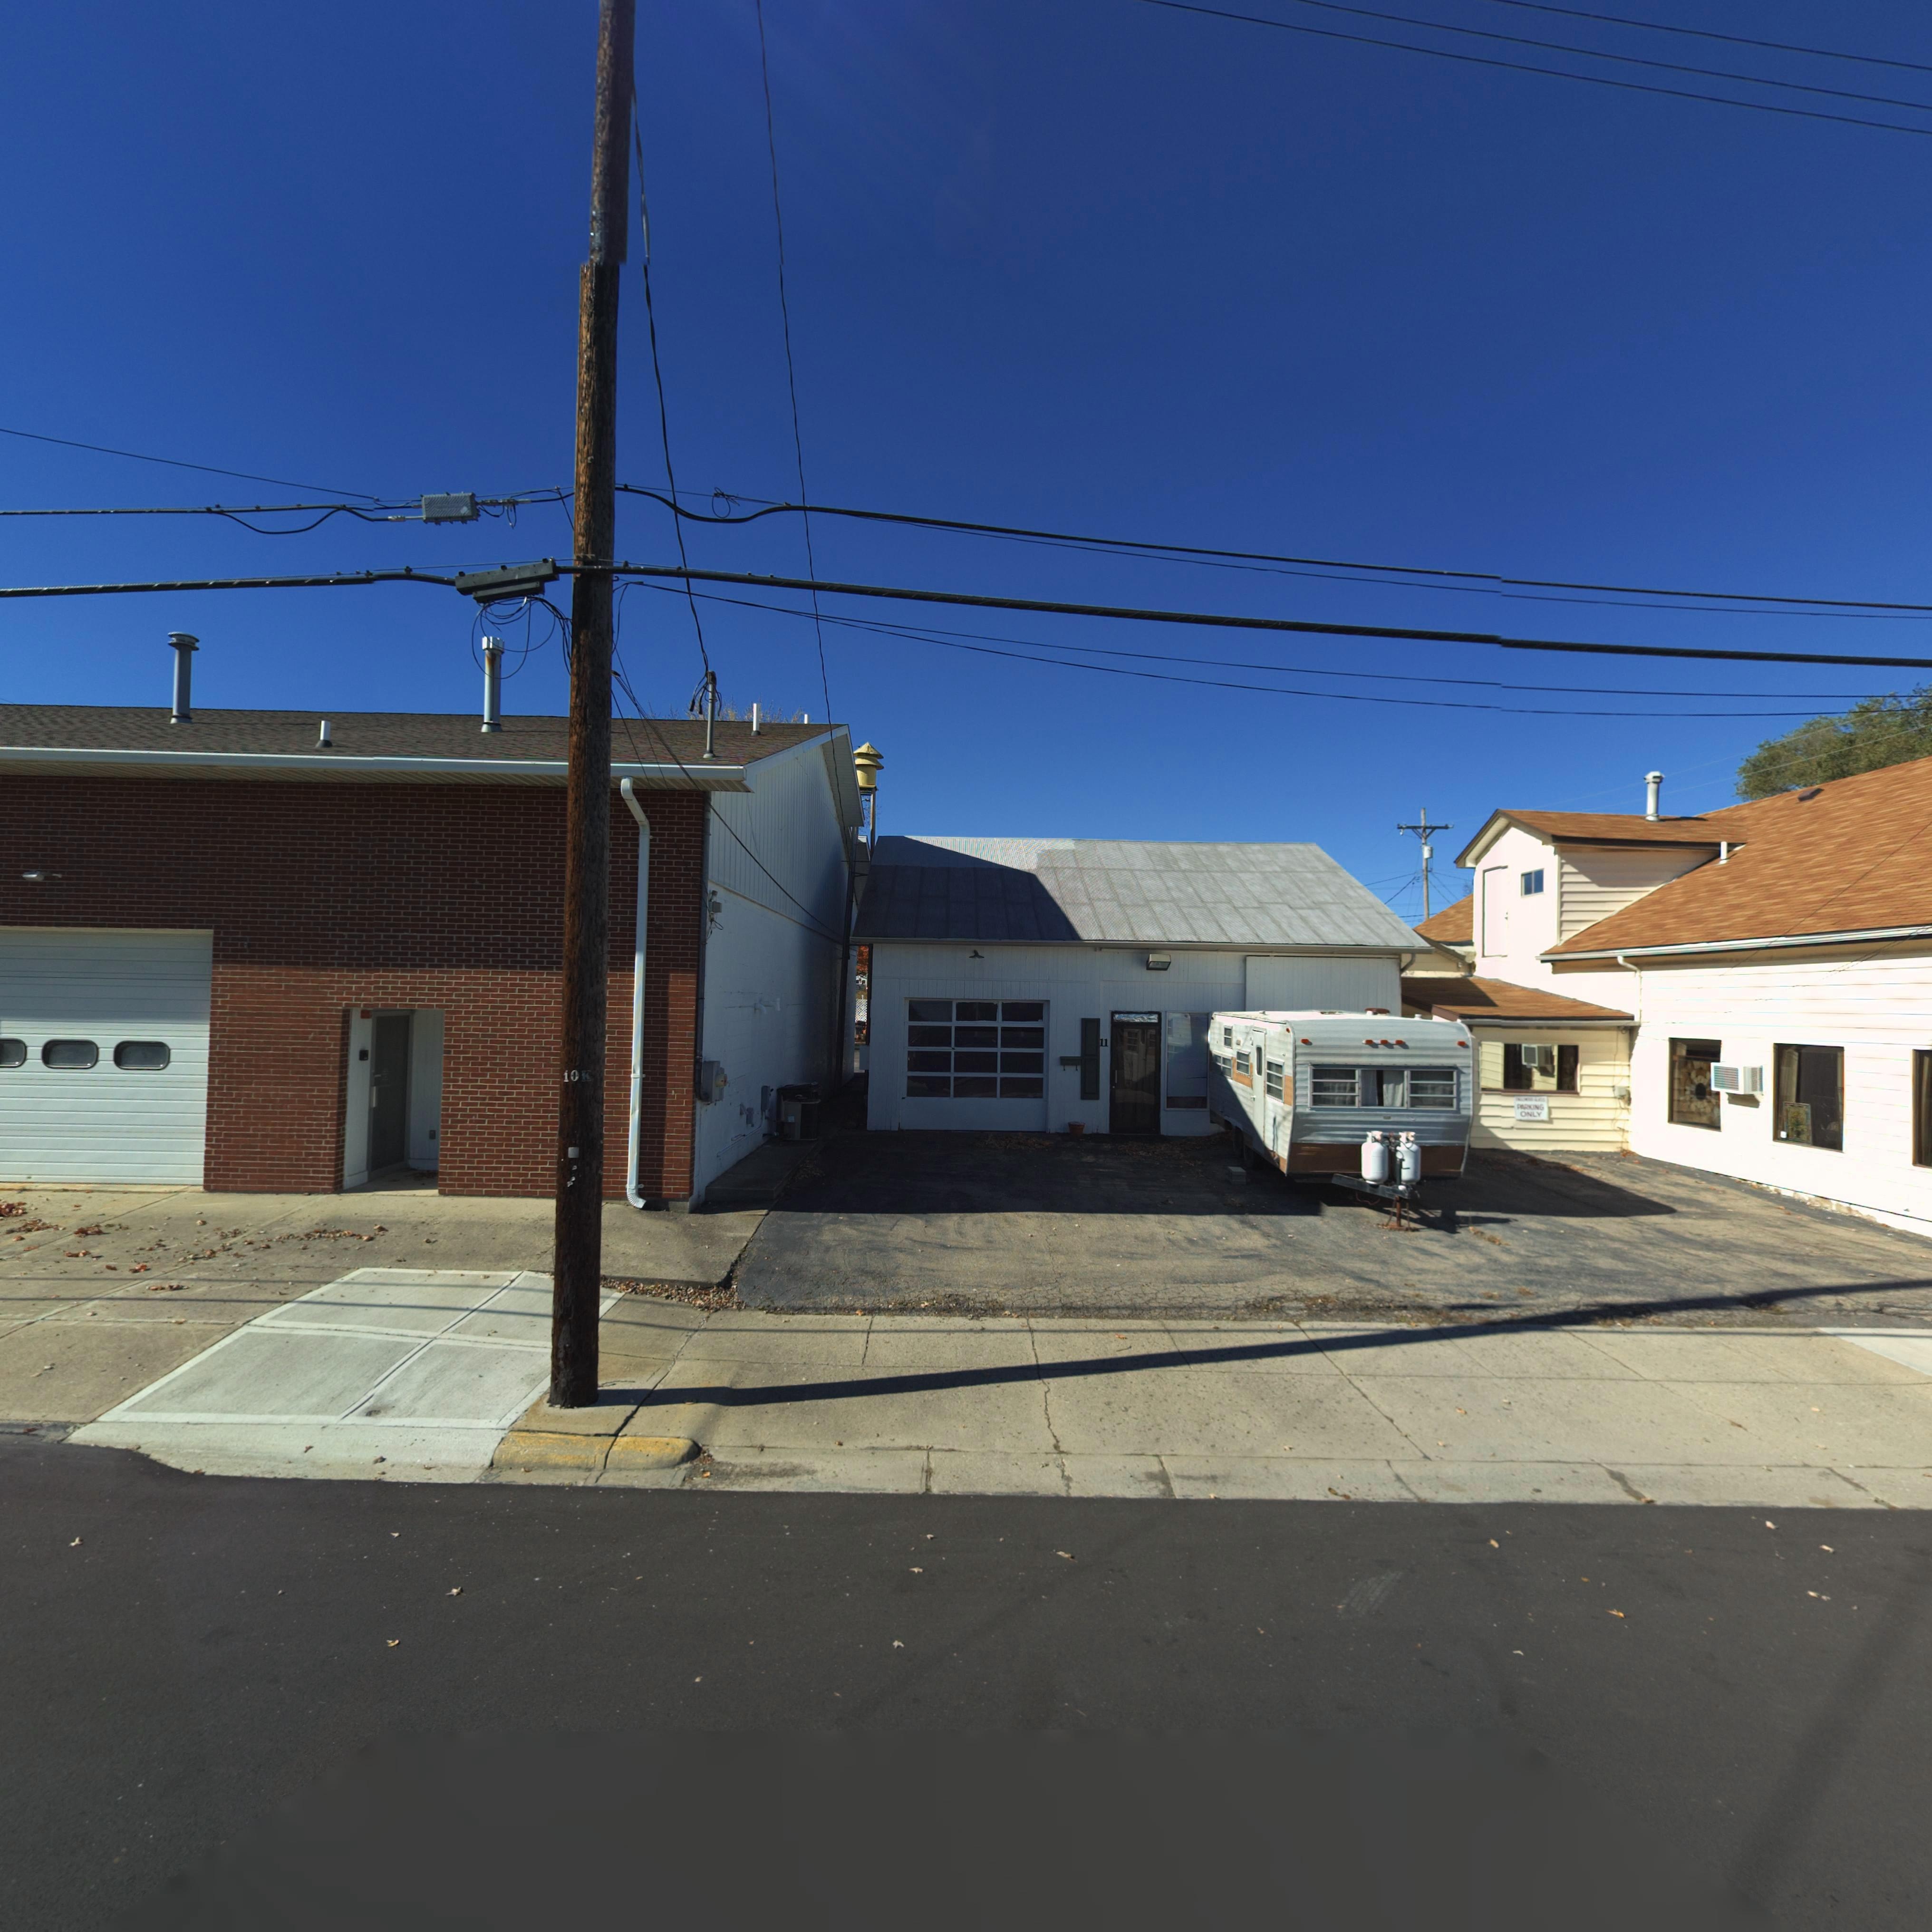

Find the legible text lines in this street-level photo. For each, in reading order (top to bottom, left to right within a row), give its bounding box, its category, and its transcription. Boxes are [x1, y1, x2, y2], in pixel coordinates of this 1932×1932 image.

[1099, 1038, 1108, 1047] StreetNumber: 11
[562, 1069, 592, 1083] None: 10K
[1520, 1111, 1542, 1118] None: ONLY